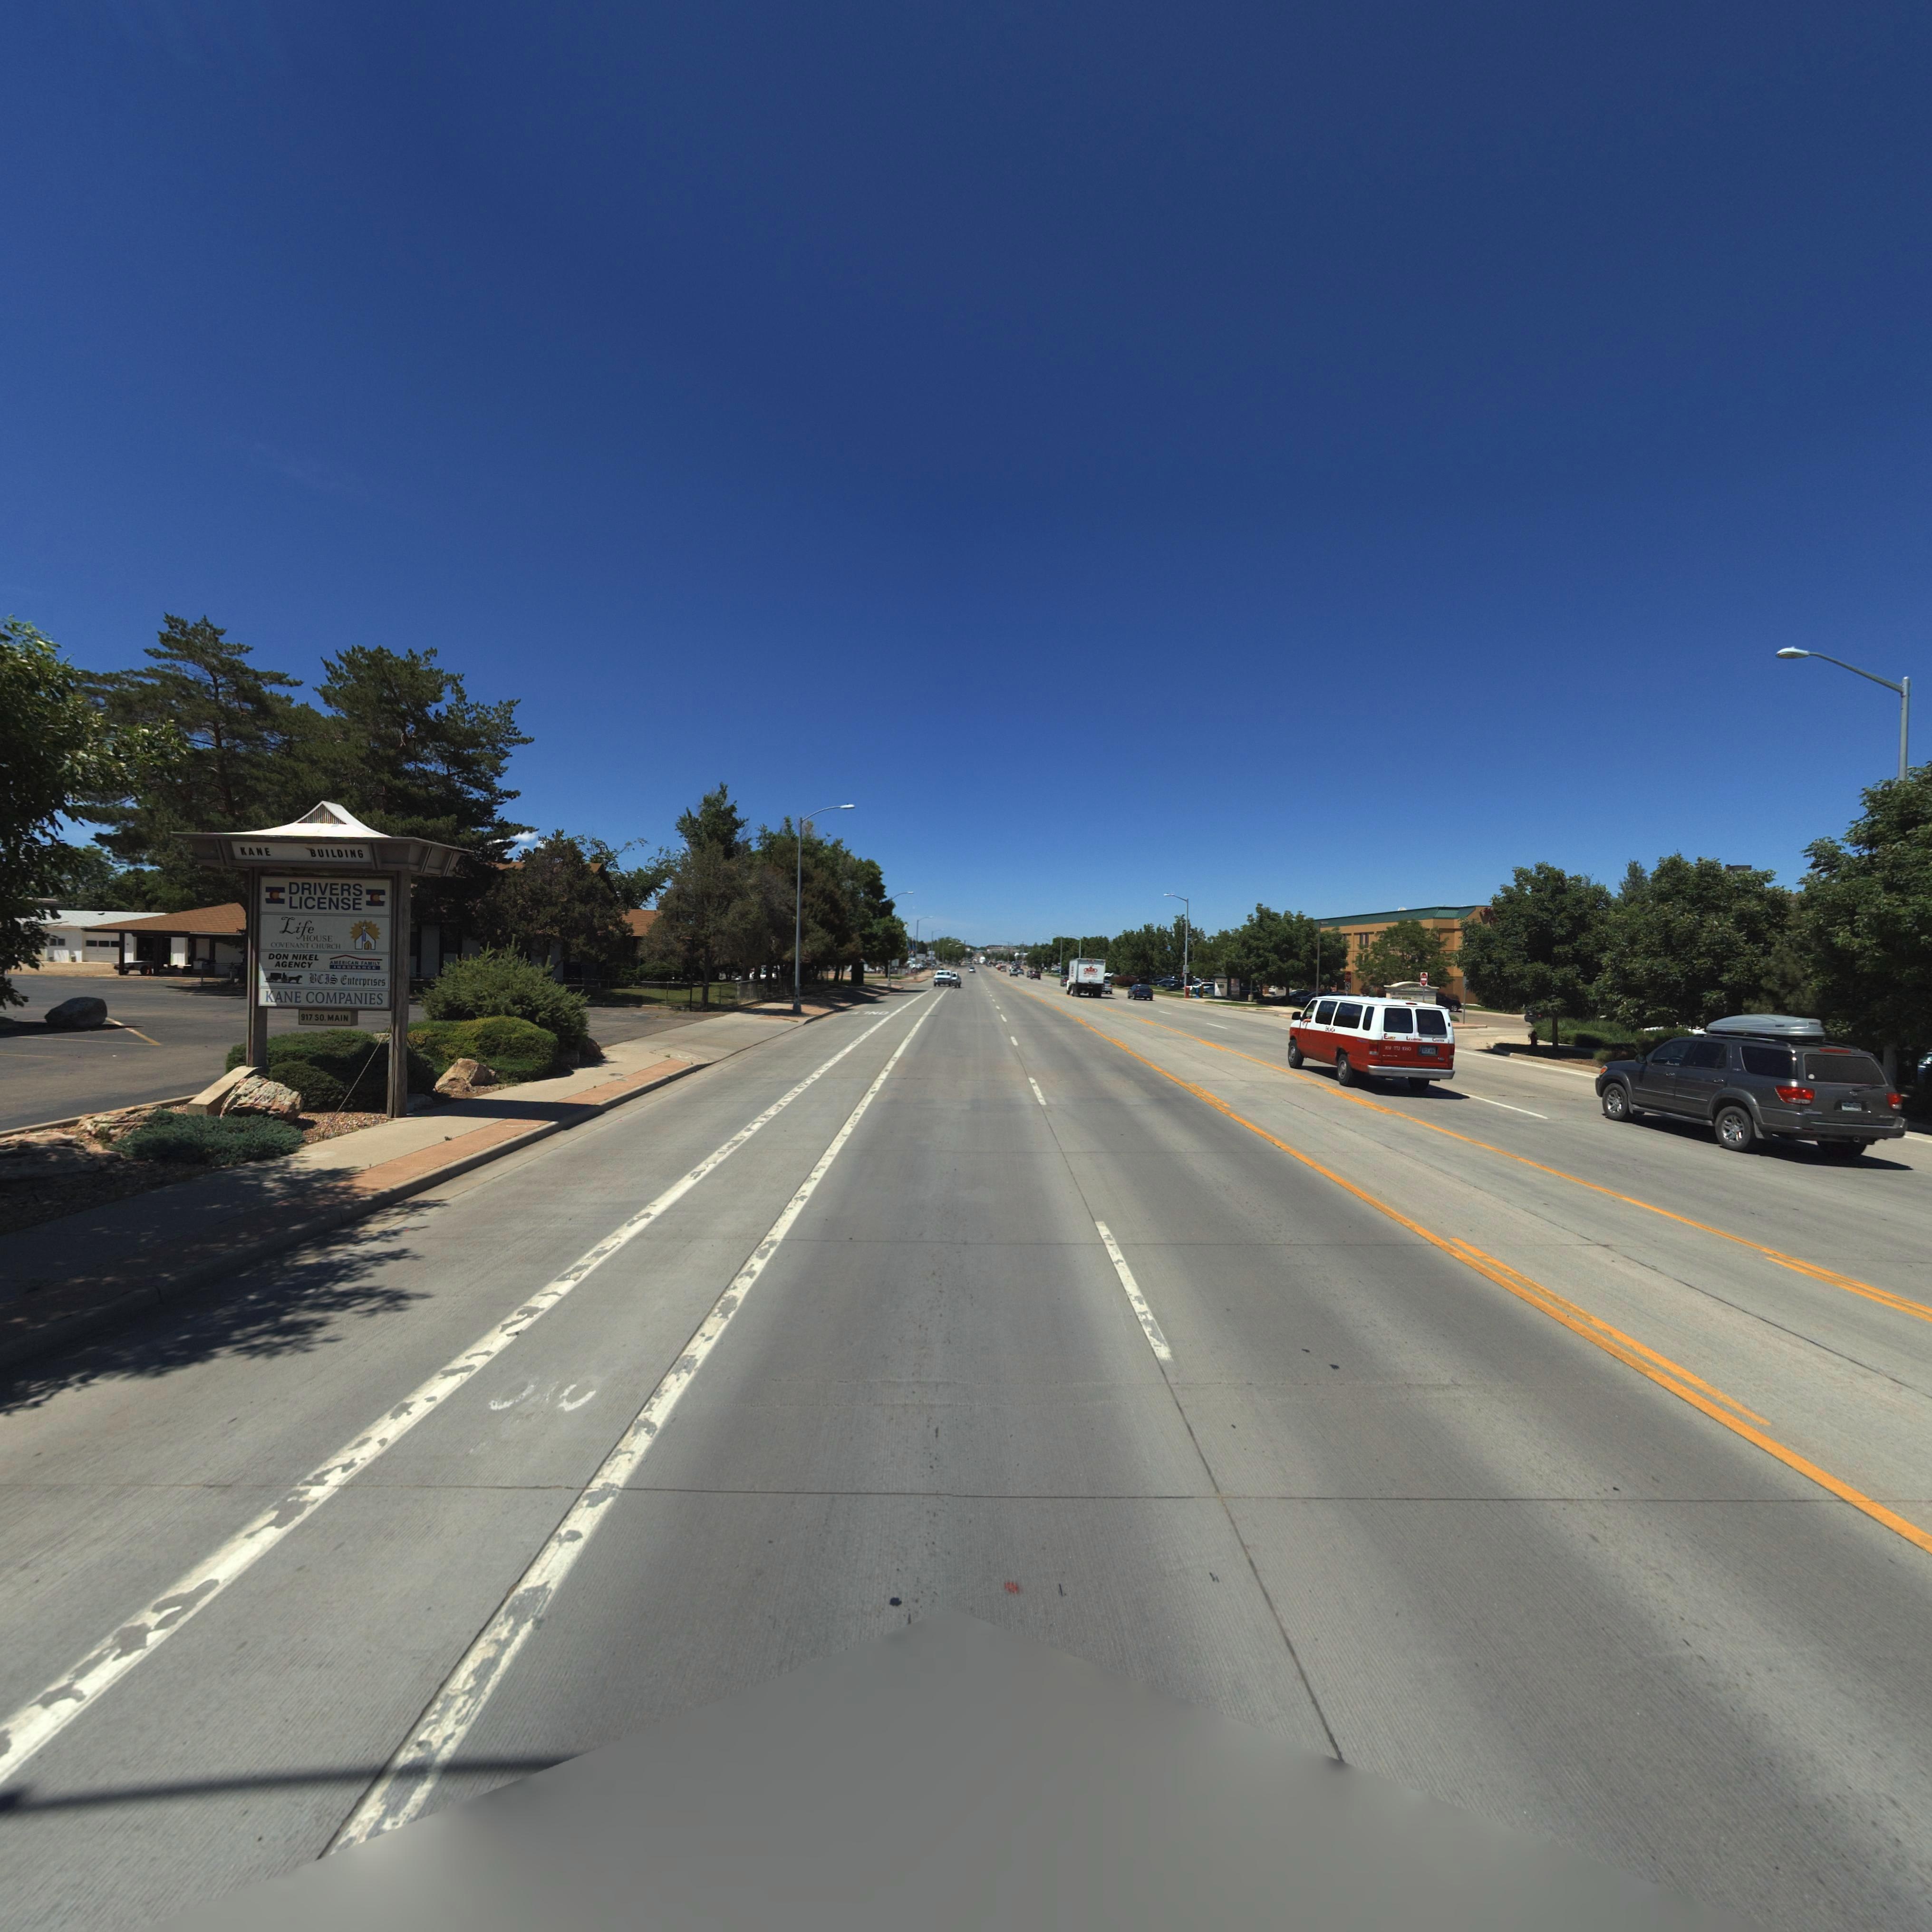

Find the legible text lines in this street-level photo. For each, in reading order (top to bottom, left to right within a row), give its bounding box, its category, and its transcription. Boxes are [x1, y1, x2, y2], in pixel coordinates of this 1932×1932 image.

[279, 916, 314, 939] BusinessName: Life
[302, 934, 333, 942] BusinessName: HOUSE
[270, 941, 340, 949] BusinessName: CONVENANT CHURCH
[329, 960, 381, 966] BusinessName: AMERICAN FAMILY
[333, 965, 376, 969] BusinessName: INSURANCE
[309, 972, 386, 987] BusinessName: BCIS Enterprises
[264, 990, 383, 1005] BusinessName: KANE COMPANIES
[300, 1013, 313, 1021] StreetNumber: 917
[314, 1014, 348, 1022] StreetName: SO. MAIN